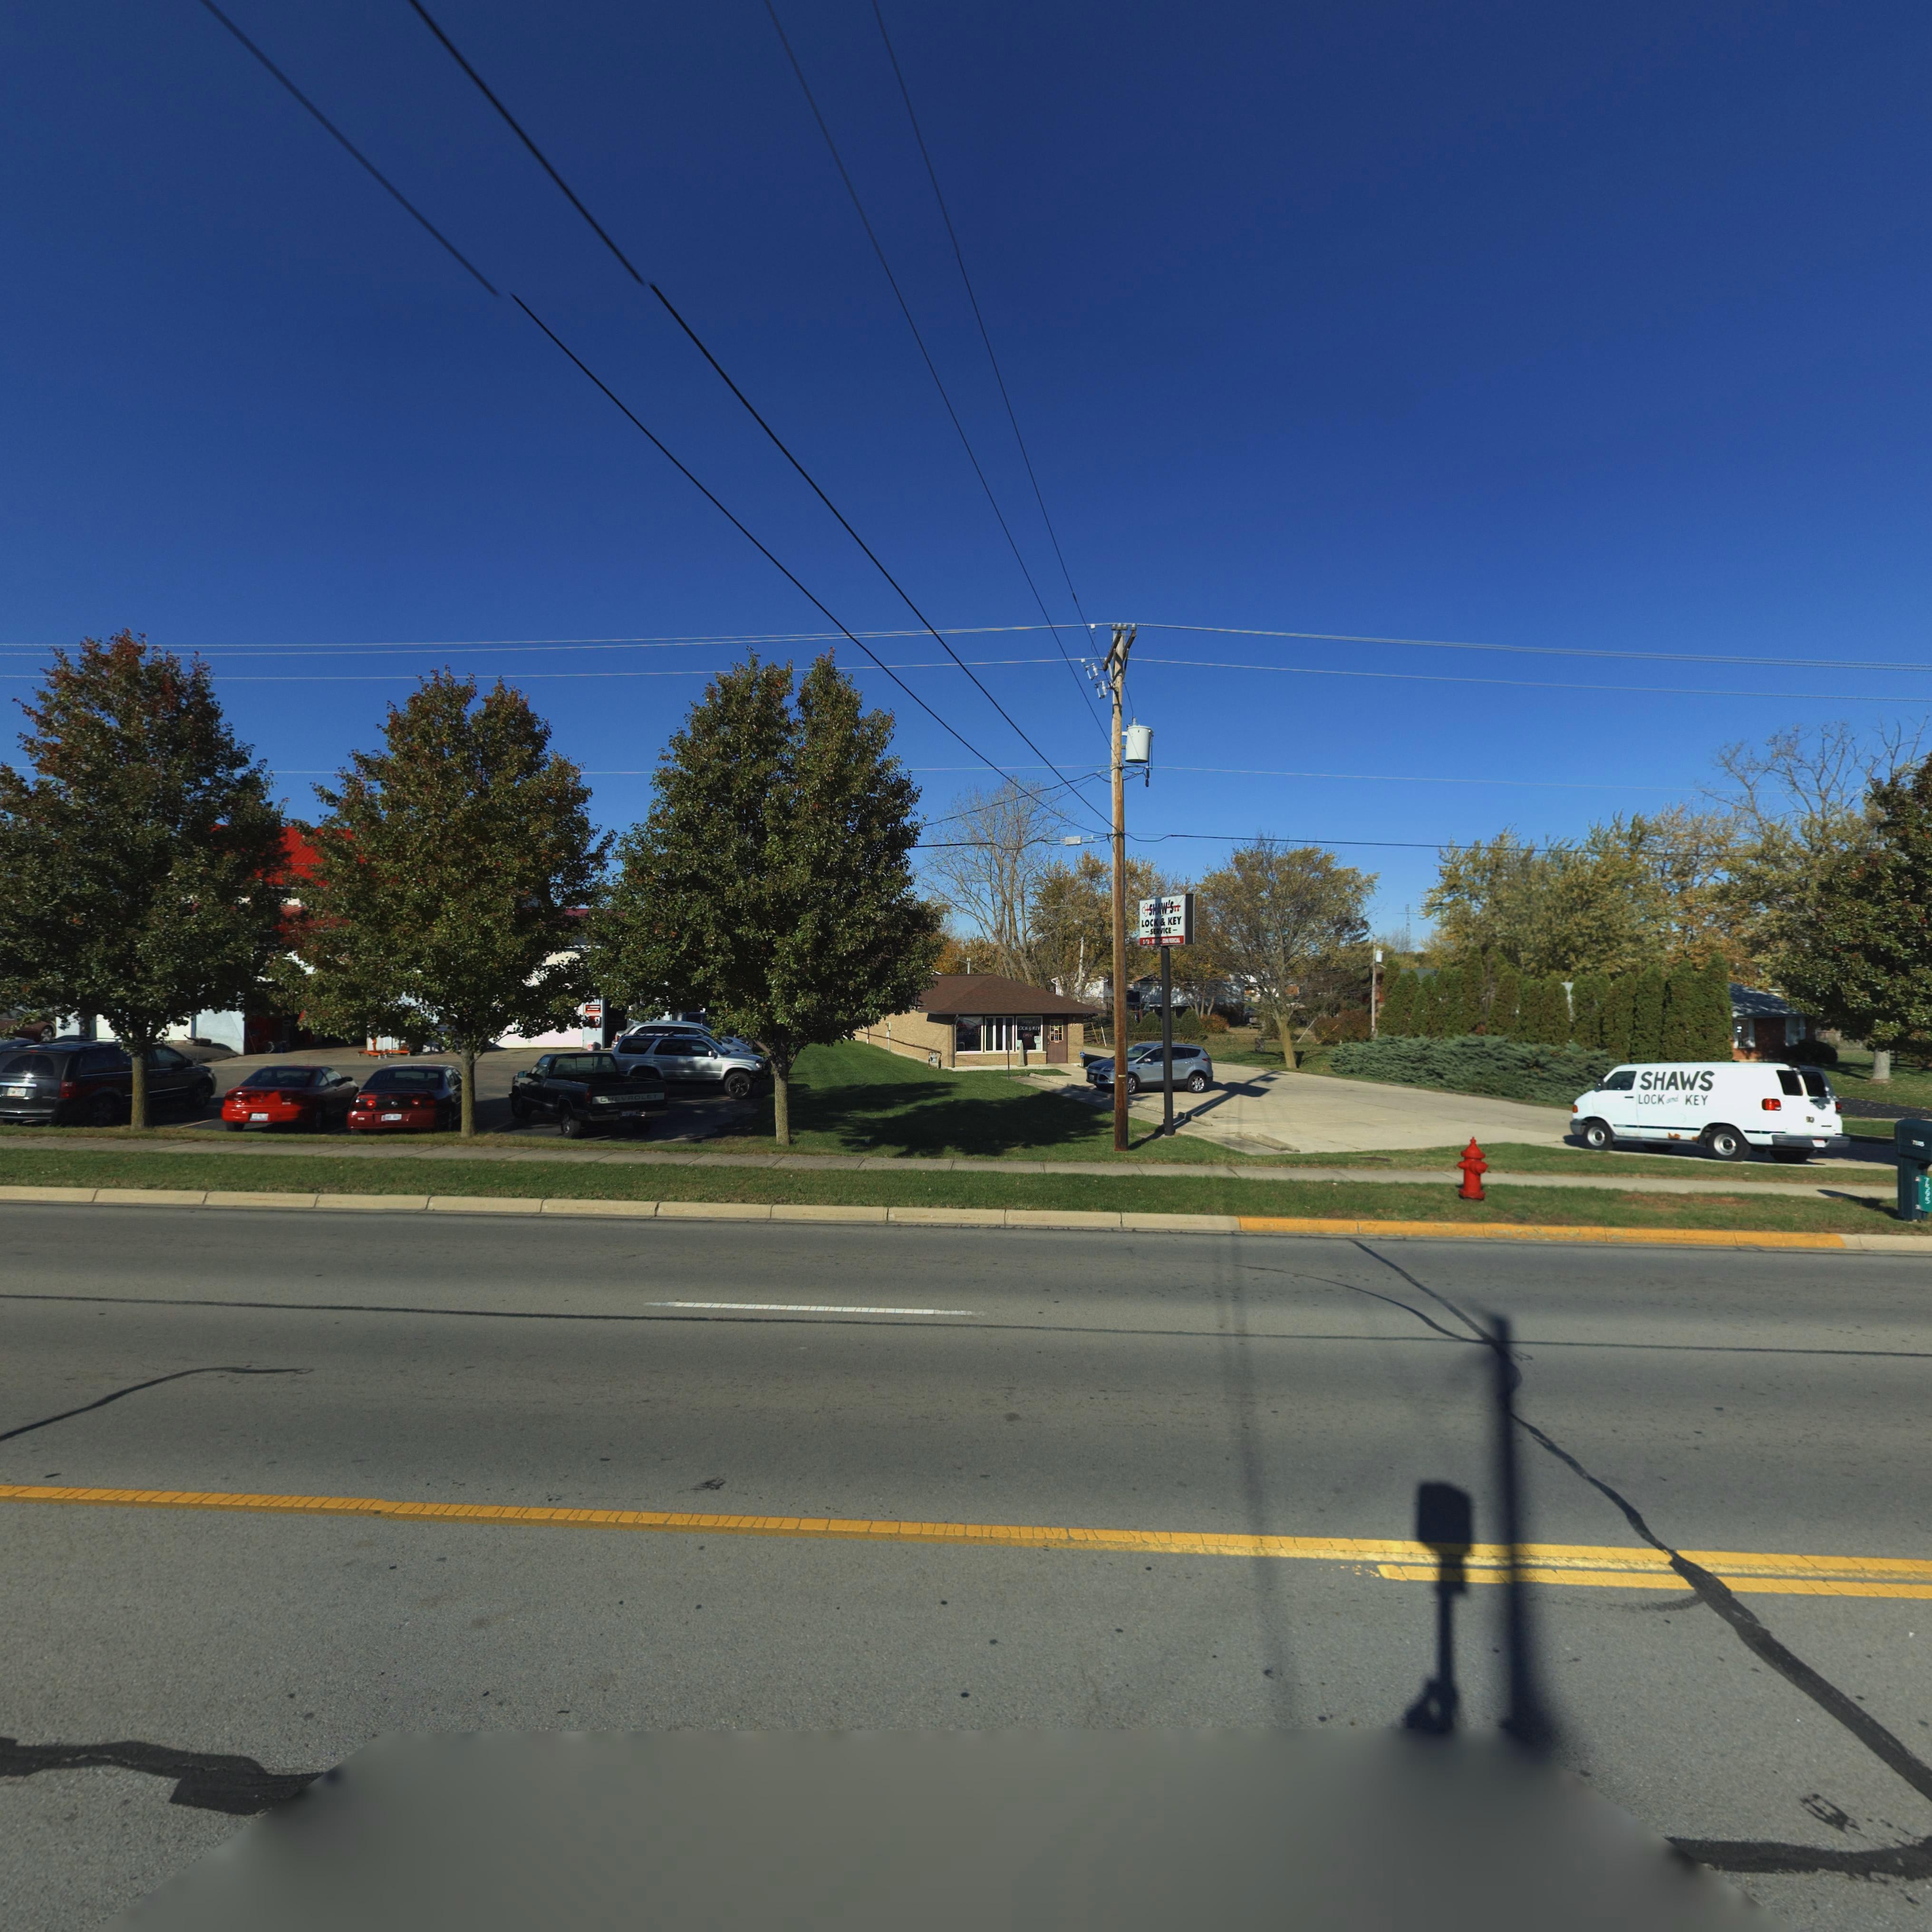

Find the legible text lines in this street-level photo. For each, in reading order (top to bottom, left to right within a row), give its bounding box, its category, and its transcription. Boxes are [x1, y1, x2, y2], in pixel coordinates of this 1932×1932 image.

[1149, 898, 1175, 917] BusinessName: SHAW'S
[1141, 915, 1183, 928] BusinessName: LOCK & KEY
[1018, 1025, 1041, 1031] BusinessName: OCK & KEY
[1068, 1021, 1083, 1027] StreetNumber: 76*5
[1922, 1176, 1932, 1207] StreetNumber: 7**5